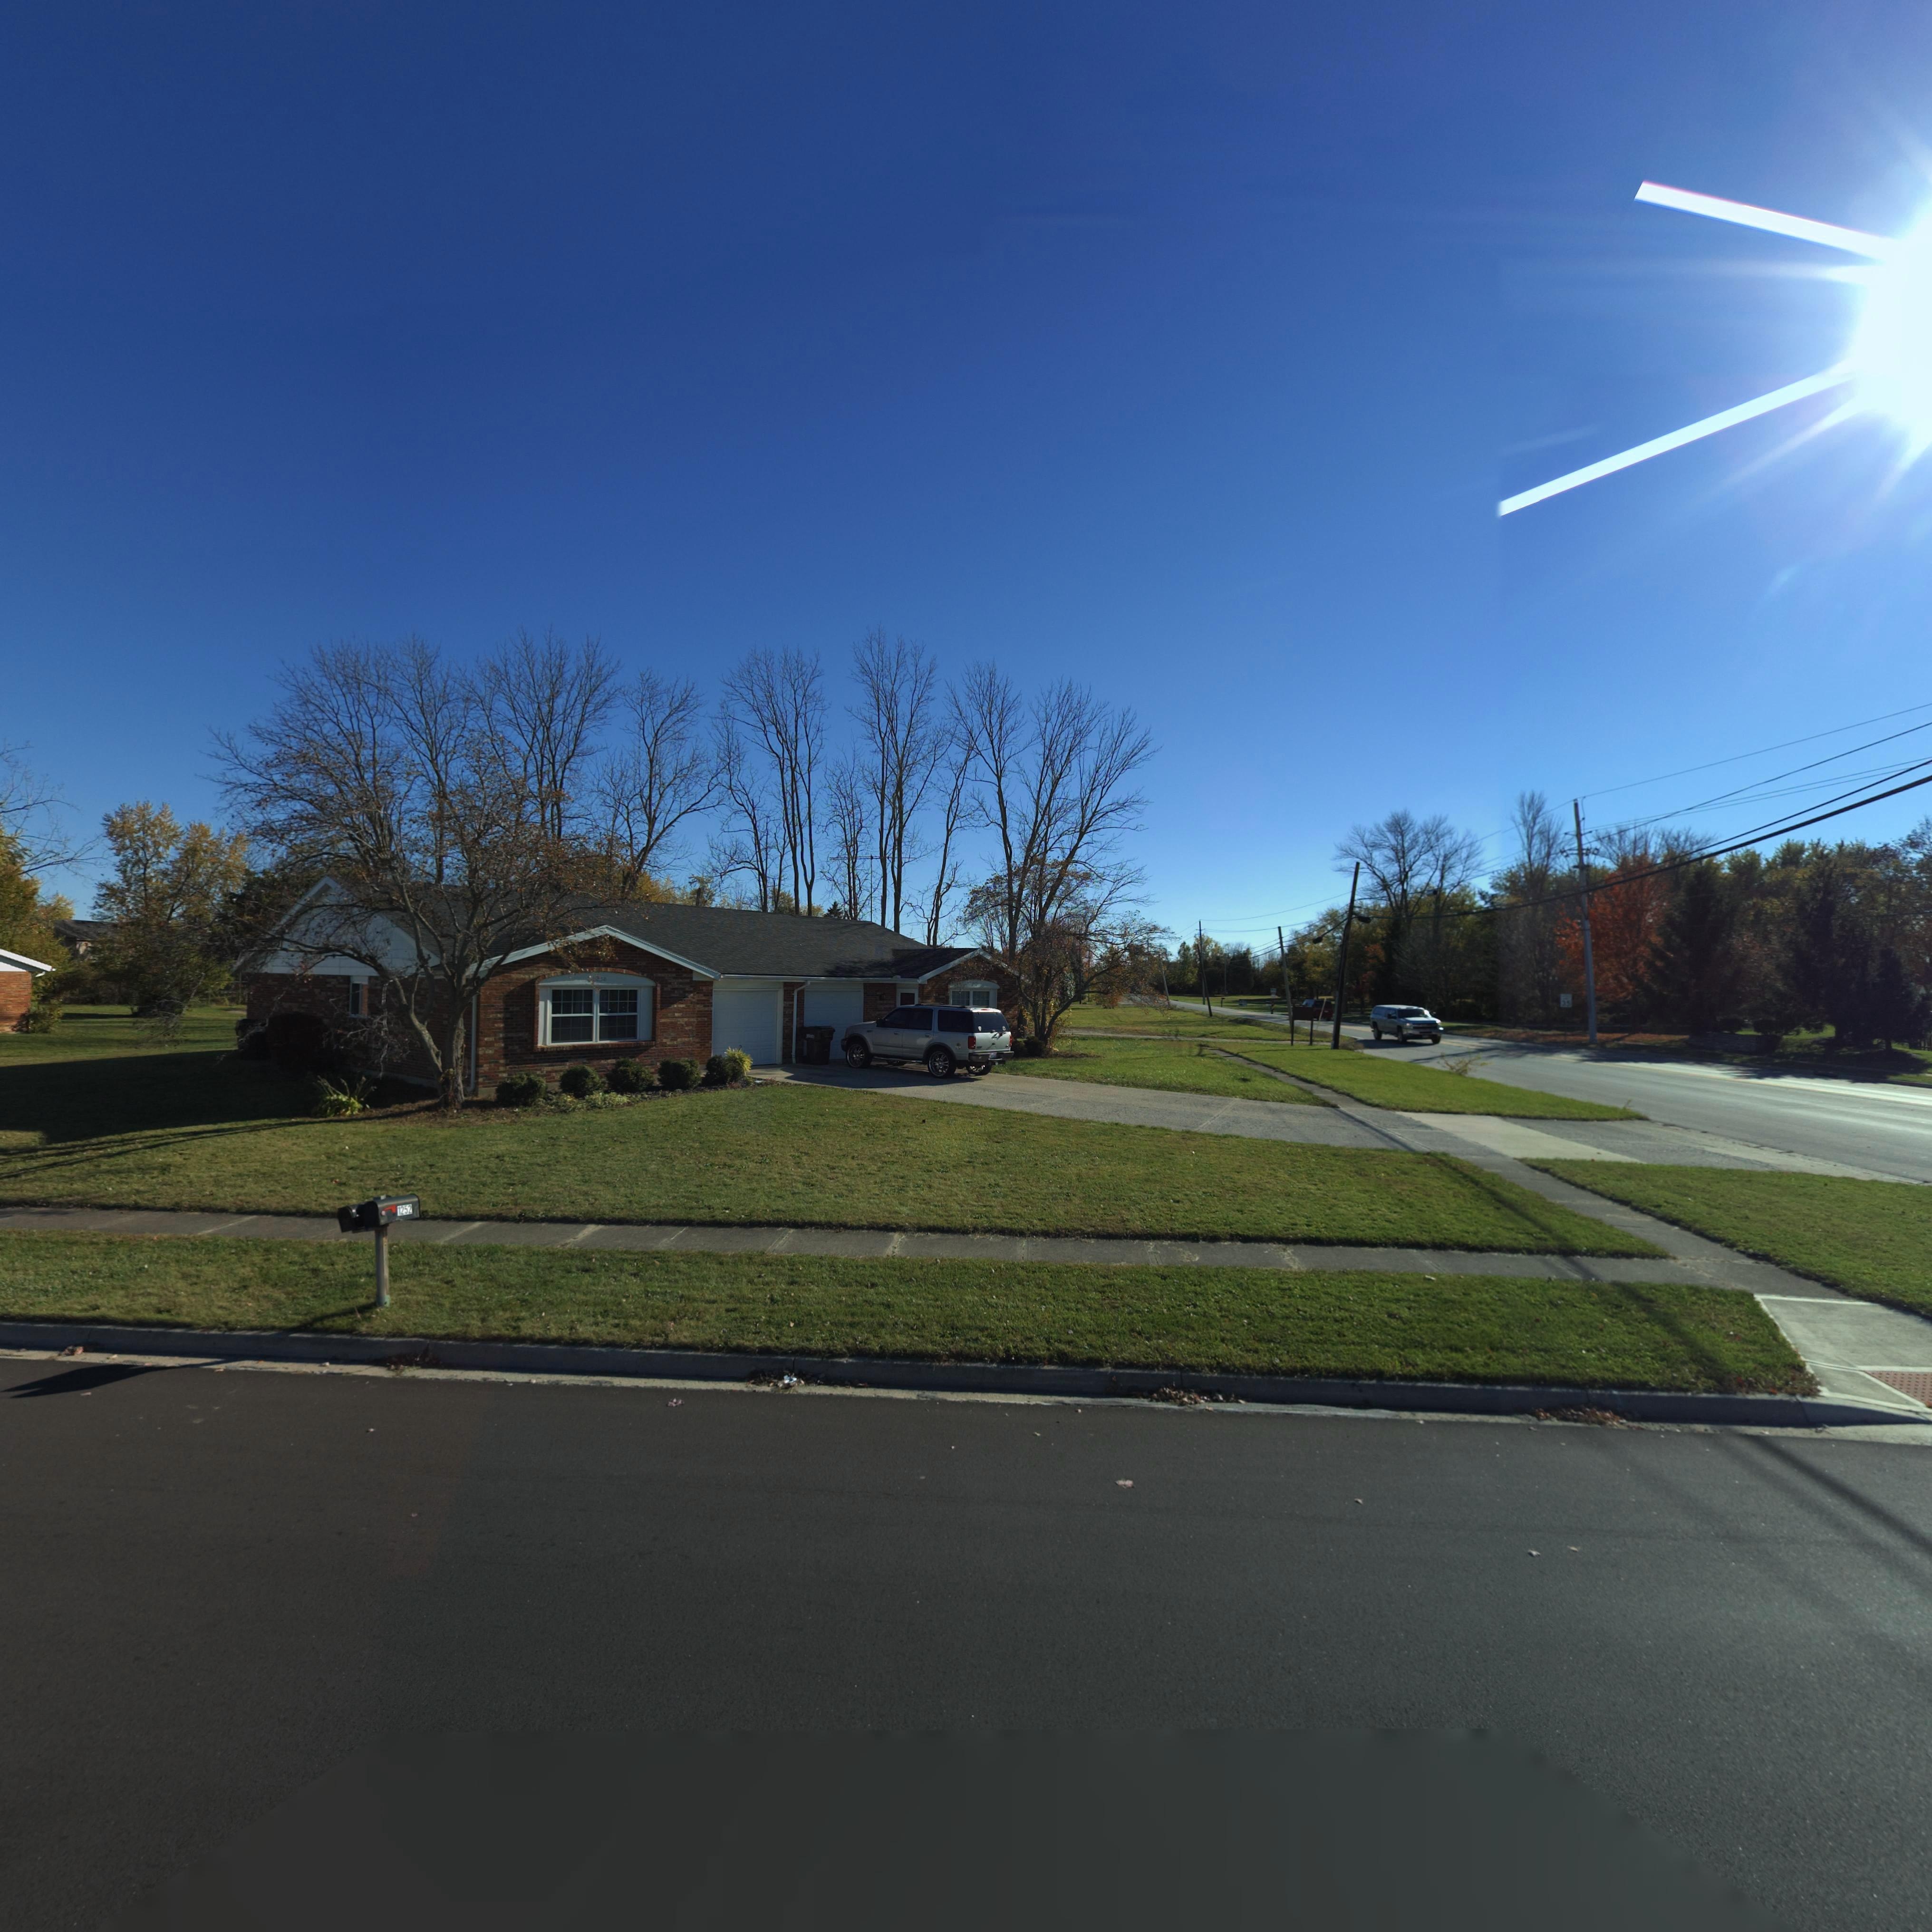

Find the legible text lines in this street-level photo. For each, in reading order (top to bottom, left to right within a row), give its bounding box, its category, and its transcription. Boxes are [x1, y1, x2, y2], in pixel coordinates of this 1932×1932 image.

[598, 976, 607, 982] StreetNumber: 50
[397, 1204, 413, 1216] StreetNumber: 1252